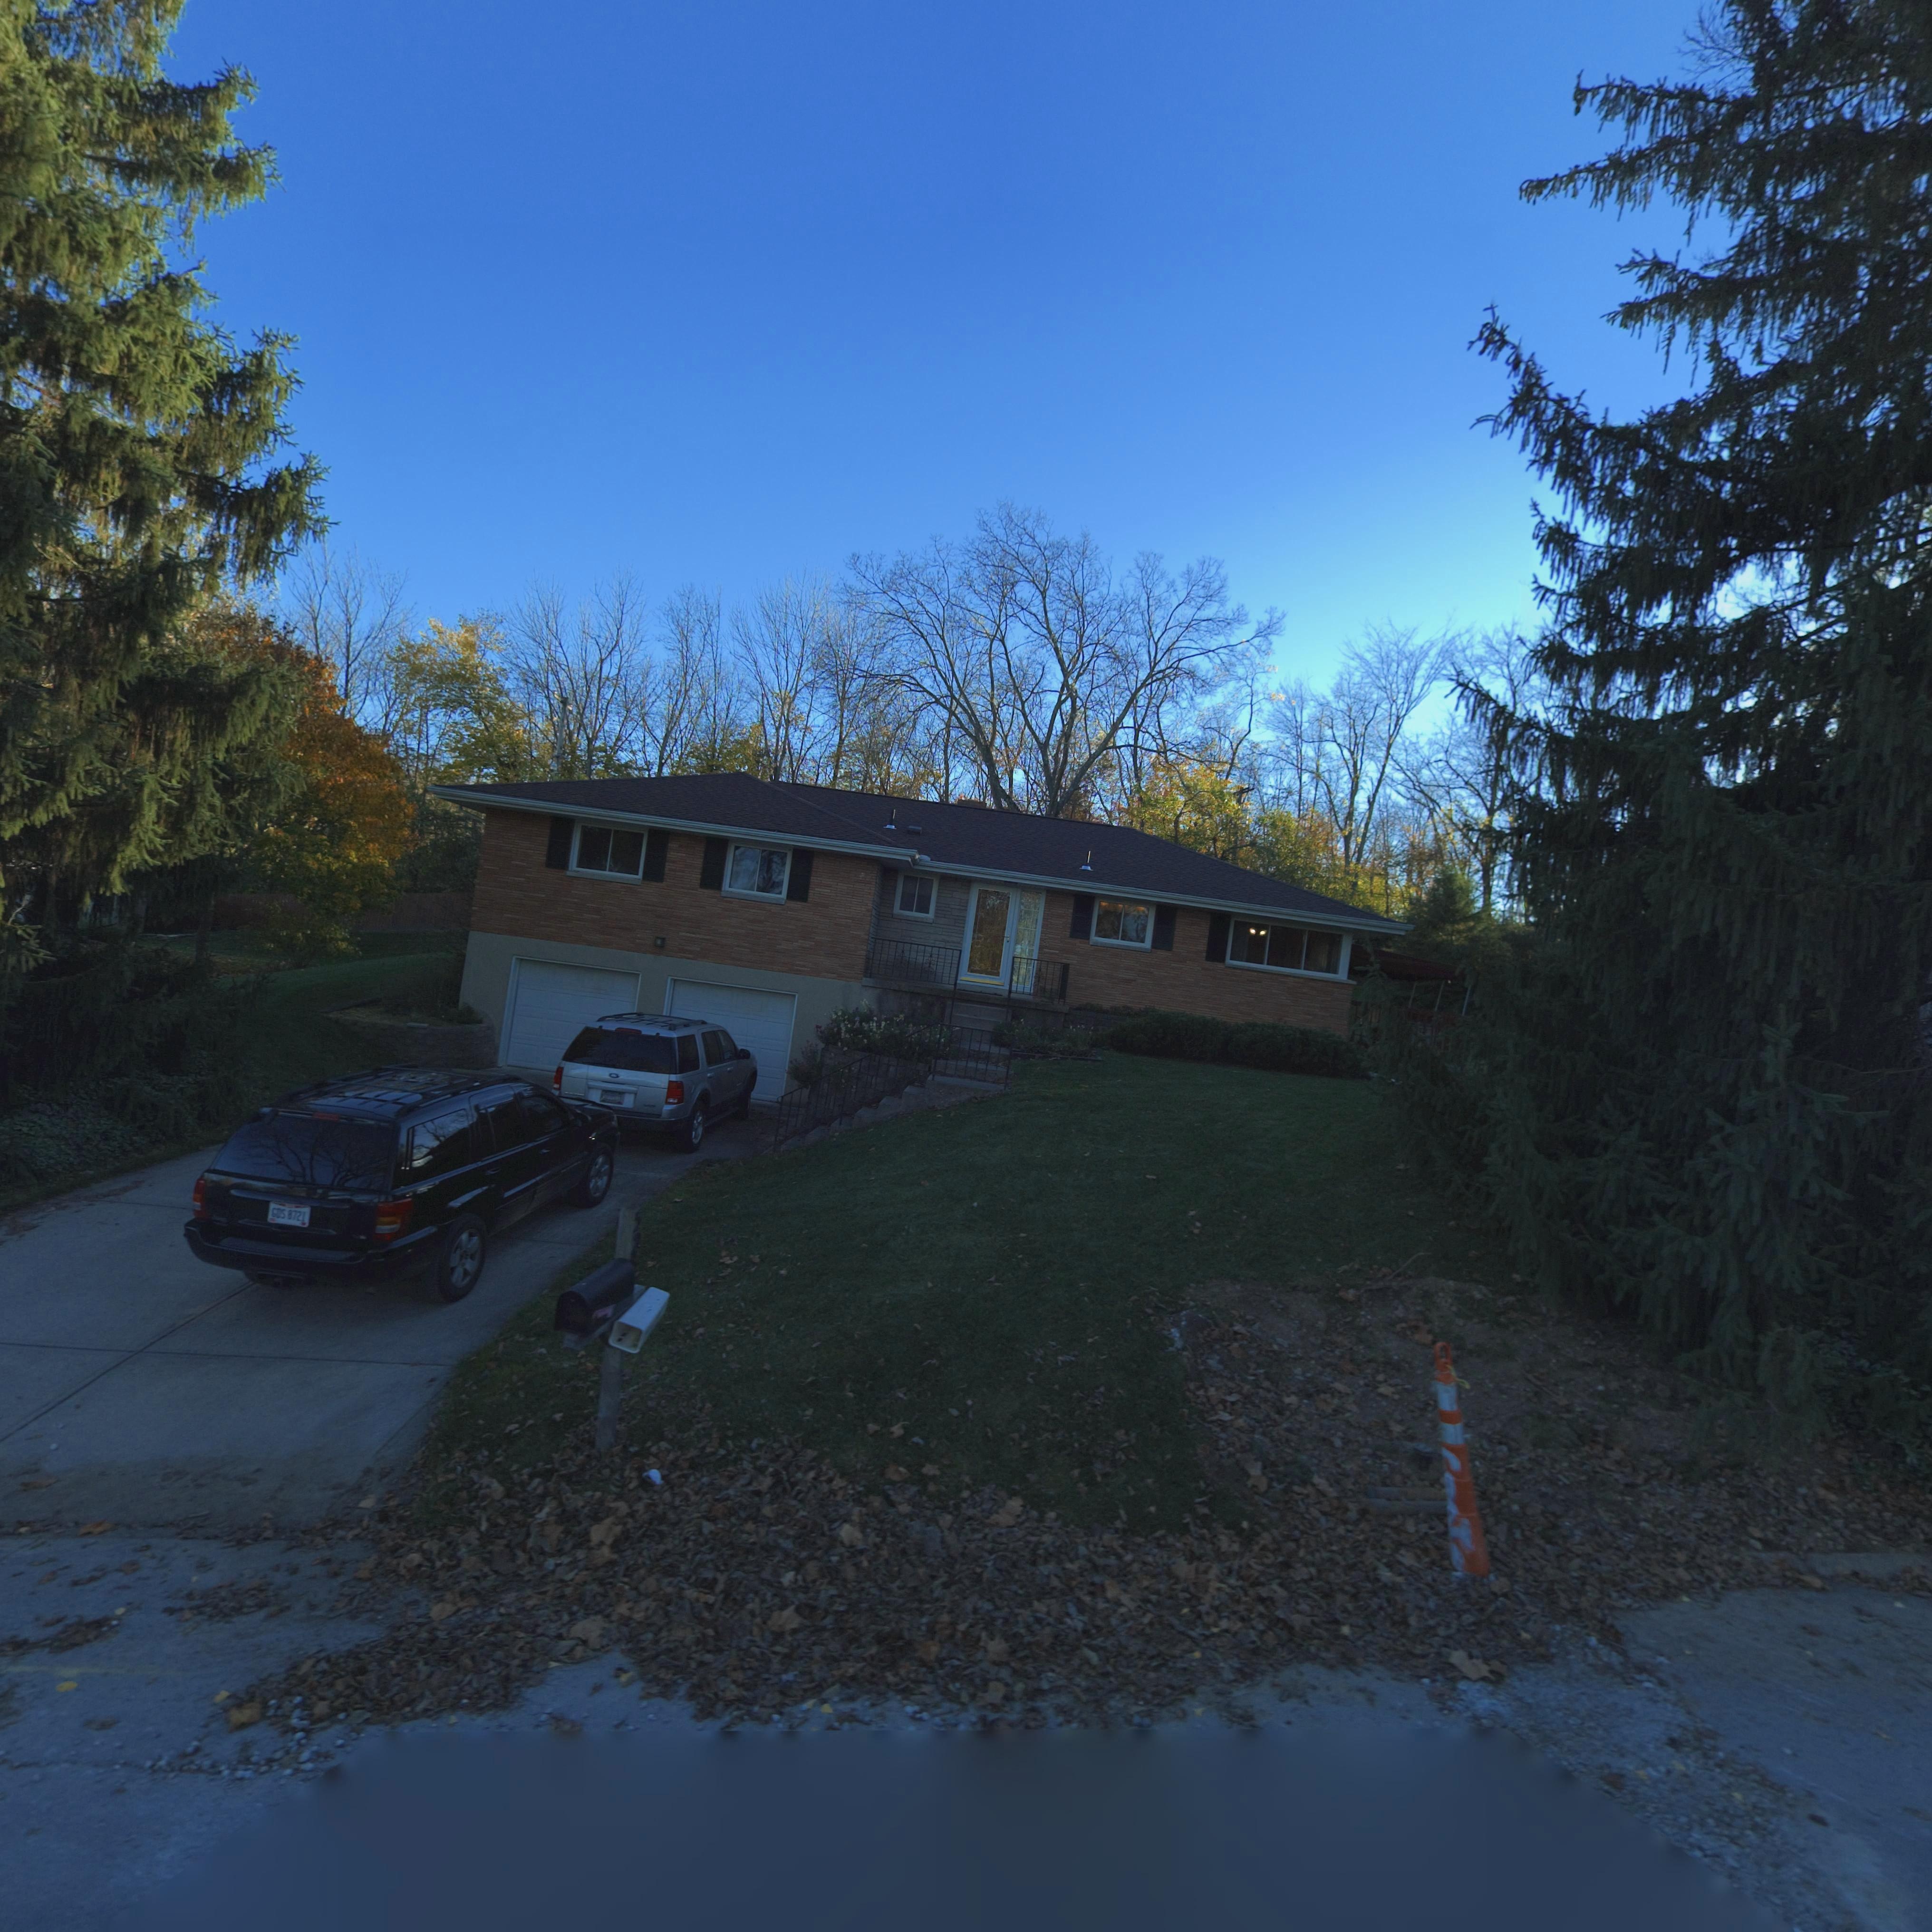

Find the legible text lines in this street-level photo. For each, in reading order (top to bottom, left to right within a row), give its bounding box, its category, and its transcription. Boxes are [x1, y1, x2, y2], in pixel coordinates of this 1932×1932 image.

[633, 1207, 643, 1235] StreetNumber: 5